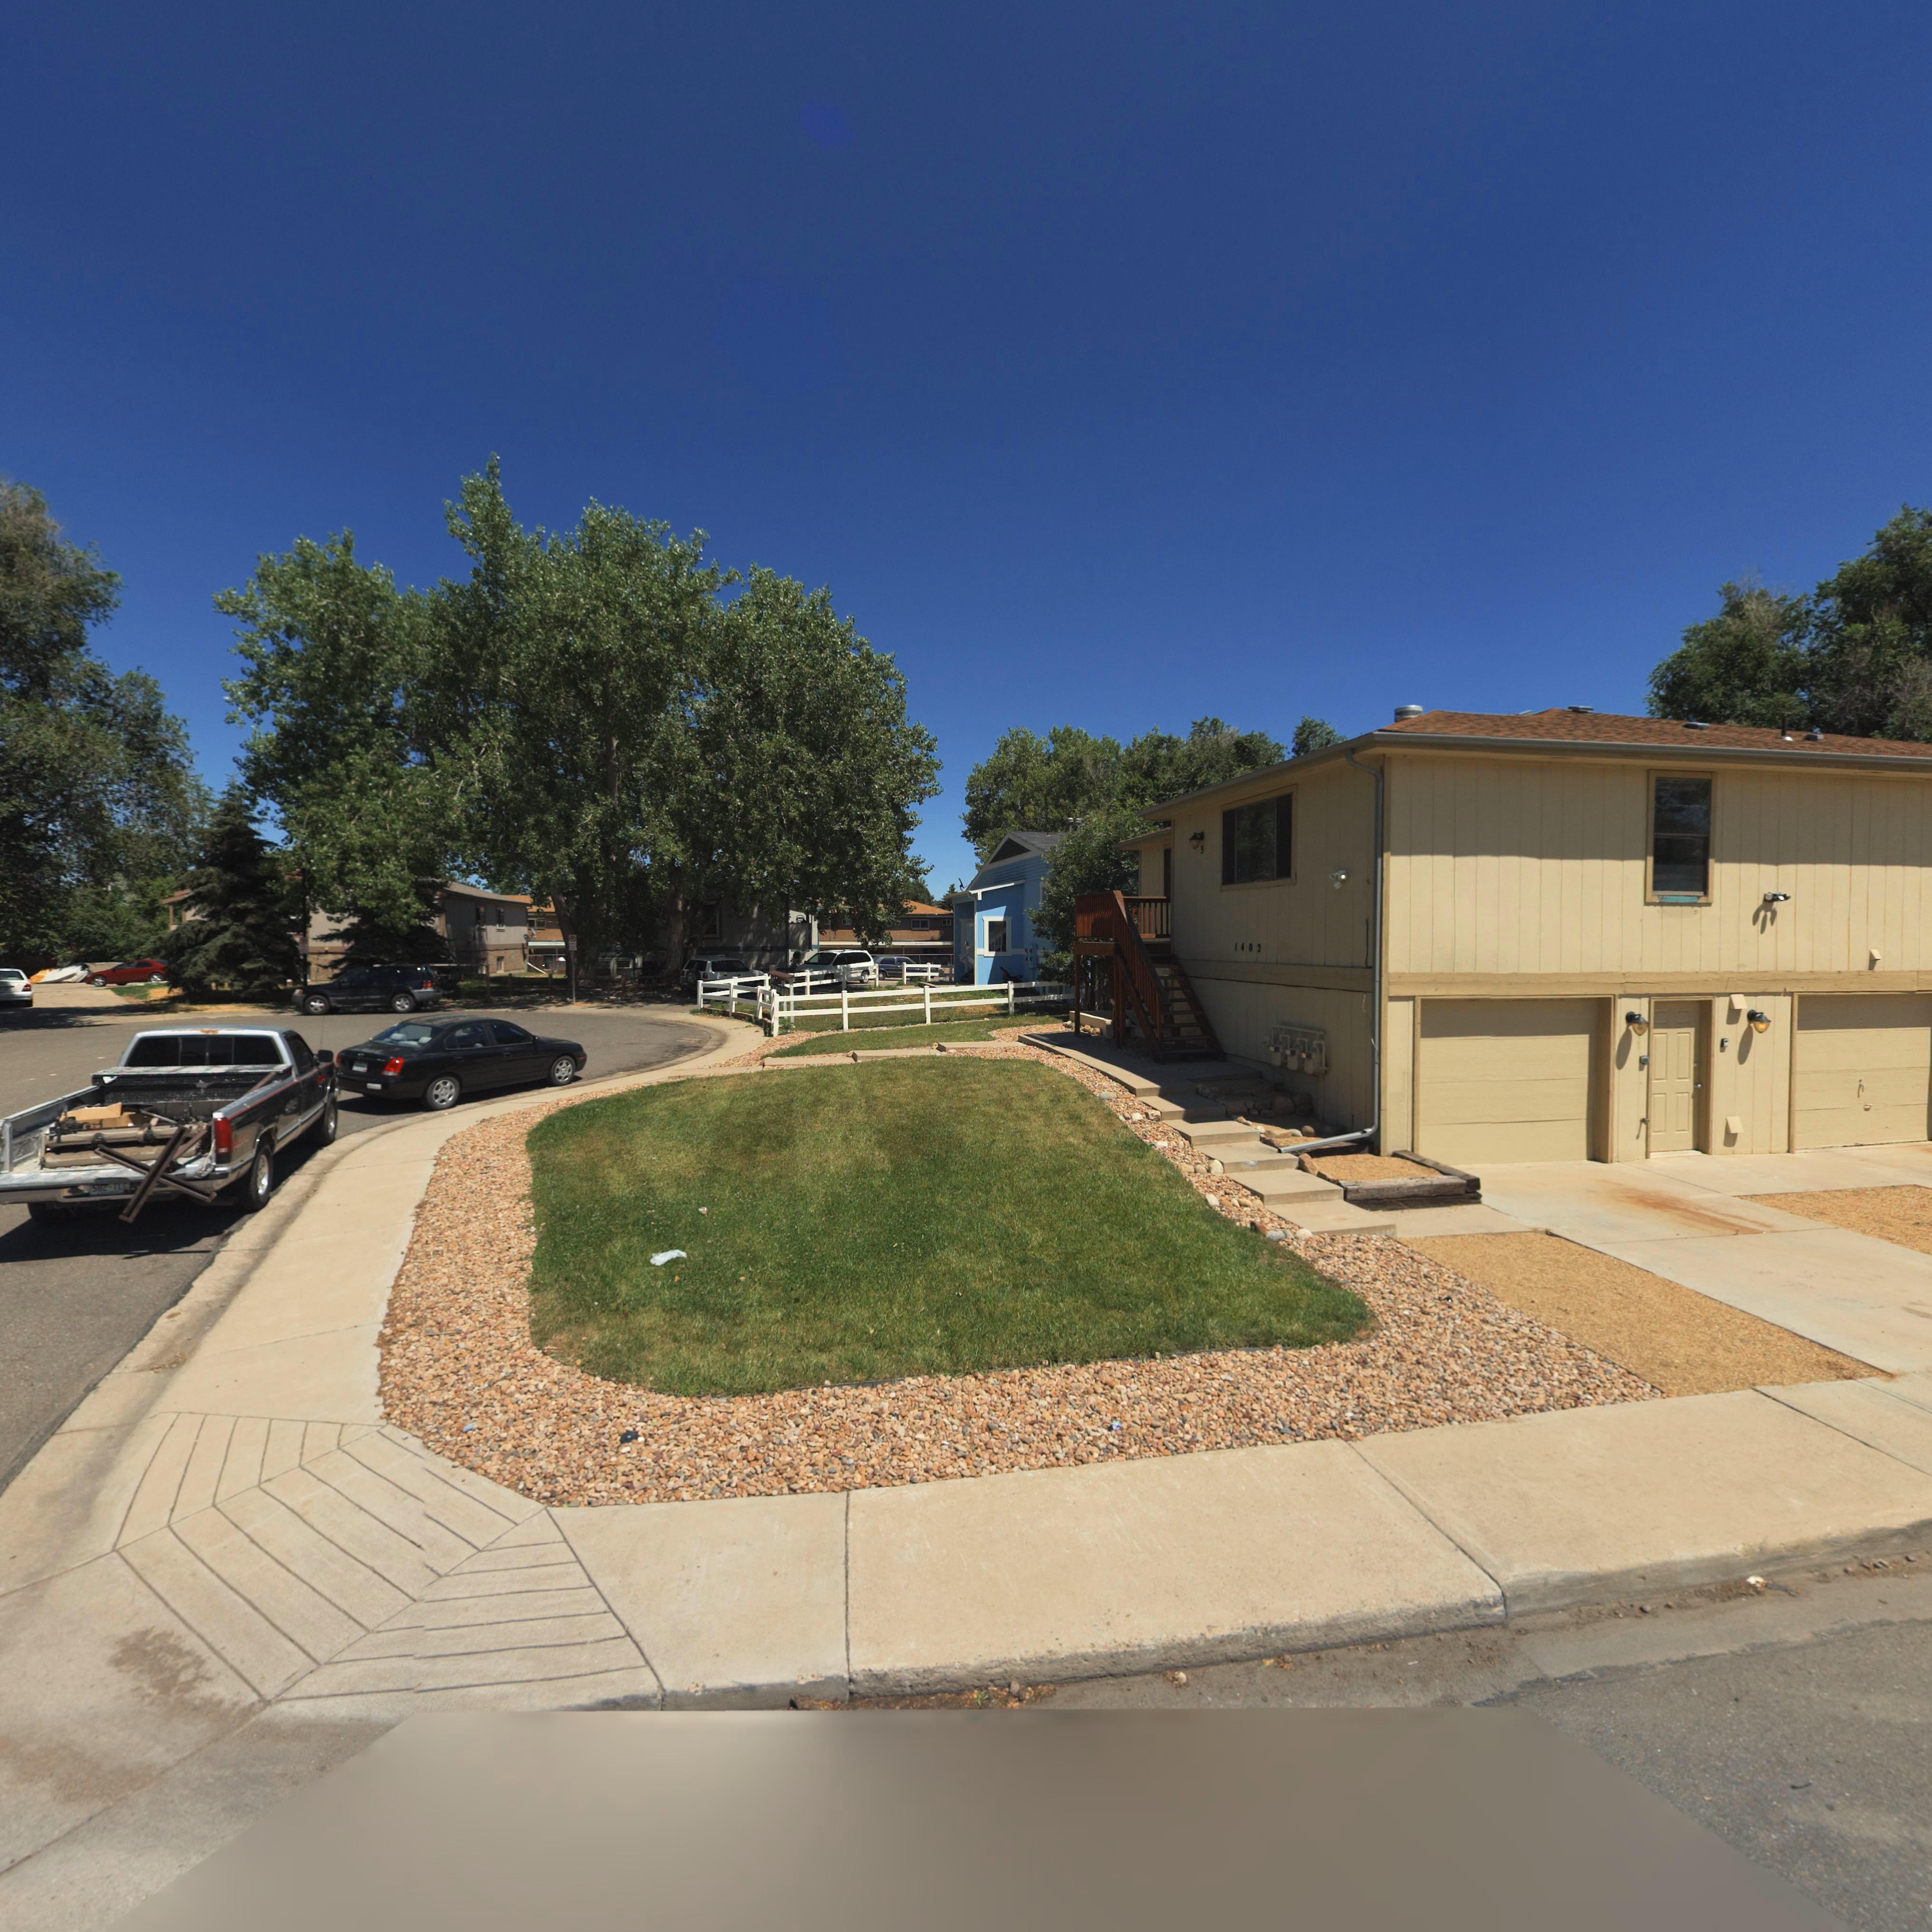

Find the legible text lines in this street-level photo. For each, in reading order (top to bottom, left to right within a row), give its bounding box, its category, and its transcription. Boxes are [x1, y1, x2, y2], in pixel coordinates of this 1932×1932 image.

[1234, 942, 1261, 953] StreetNumber: 1402